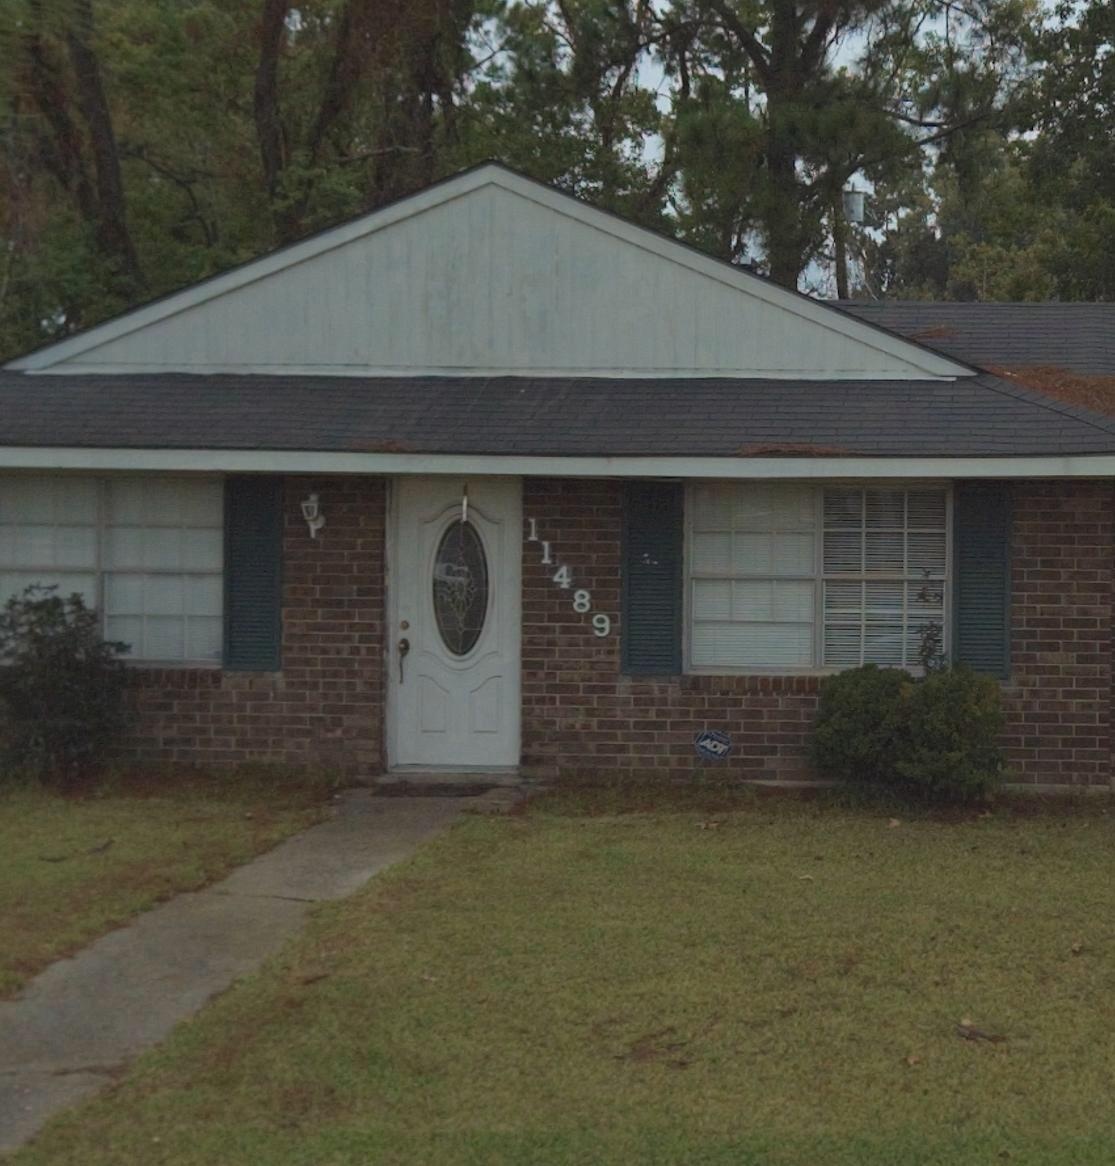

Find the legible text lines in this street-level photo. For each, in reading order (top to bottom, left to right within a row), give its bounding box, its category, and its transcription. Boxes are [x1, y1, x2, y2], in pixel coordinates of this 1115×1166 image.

[526, 515, 611, 641] StreetNumber: 11489
[701, 735, 725, 756] None: ADT